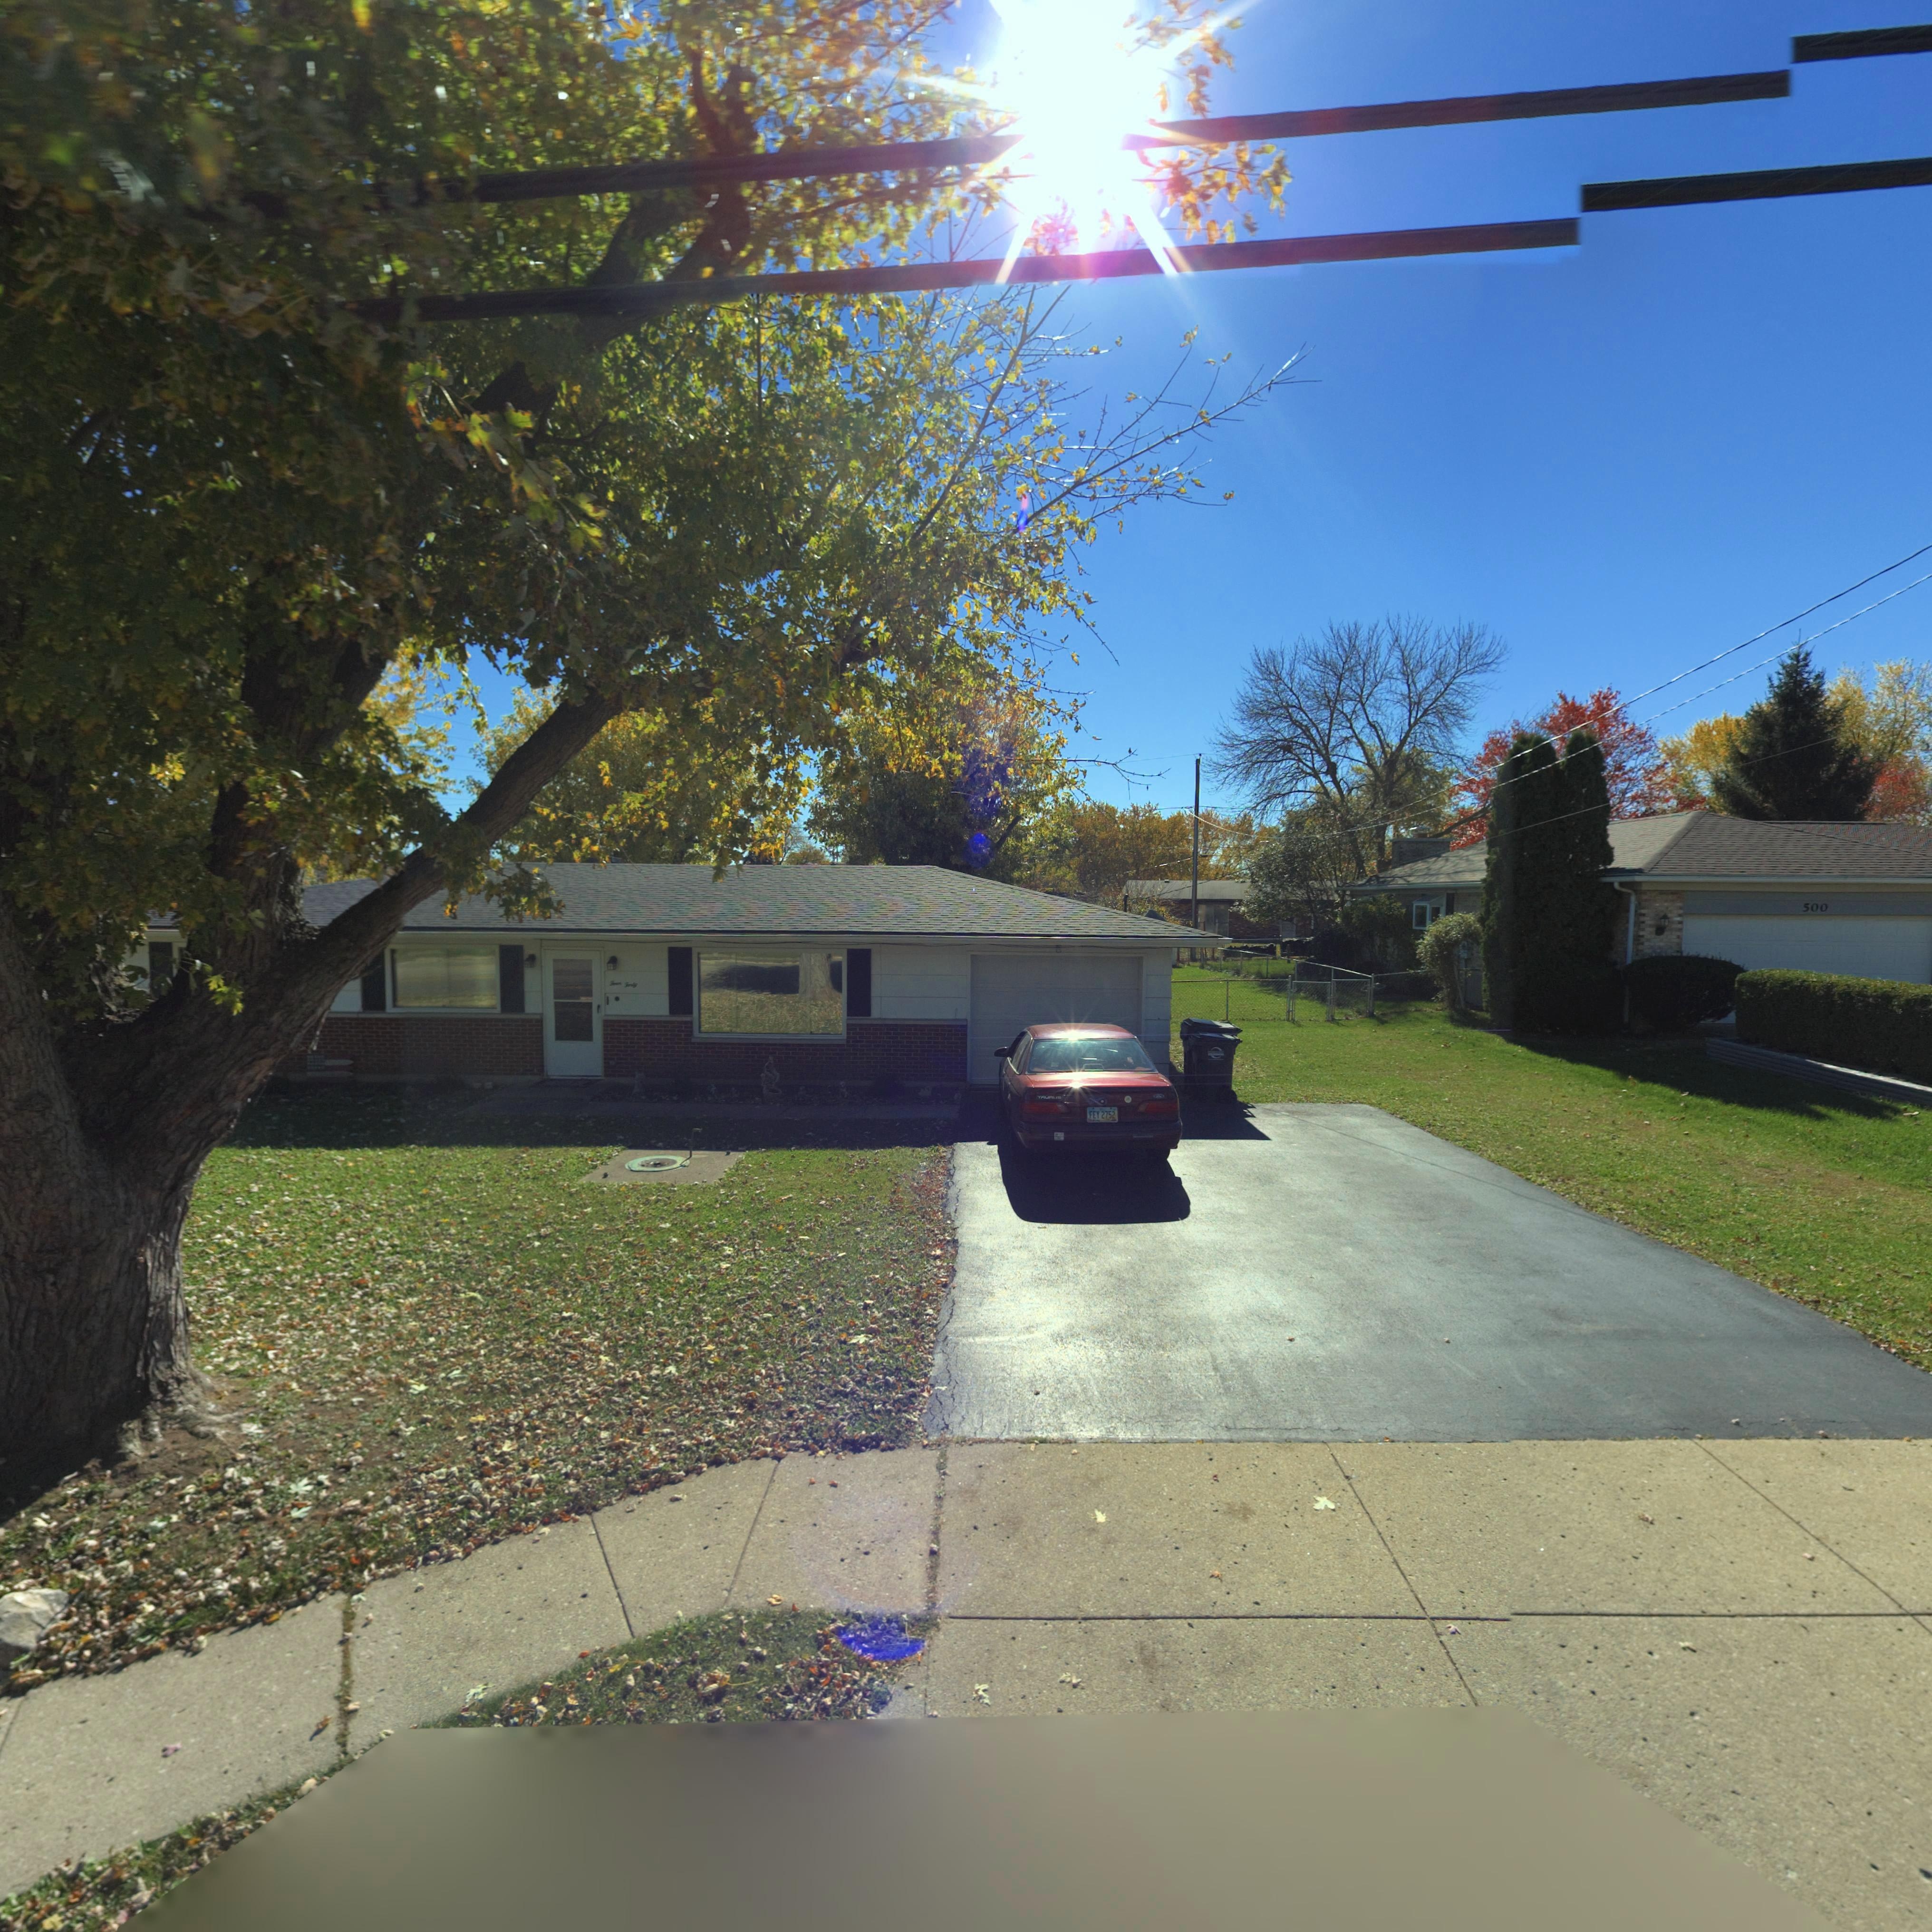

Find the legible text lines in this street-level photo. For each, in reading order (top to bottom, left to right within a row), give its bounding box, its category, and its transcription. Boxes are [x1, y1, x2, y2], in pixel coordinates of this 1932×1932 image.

[1802, 902, 1829, 913] StreetNumber: 500
[623, 981, 639, 989] None: Forty